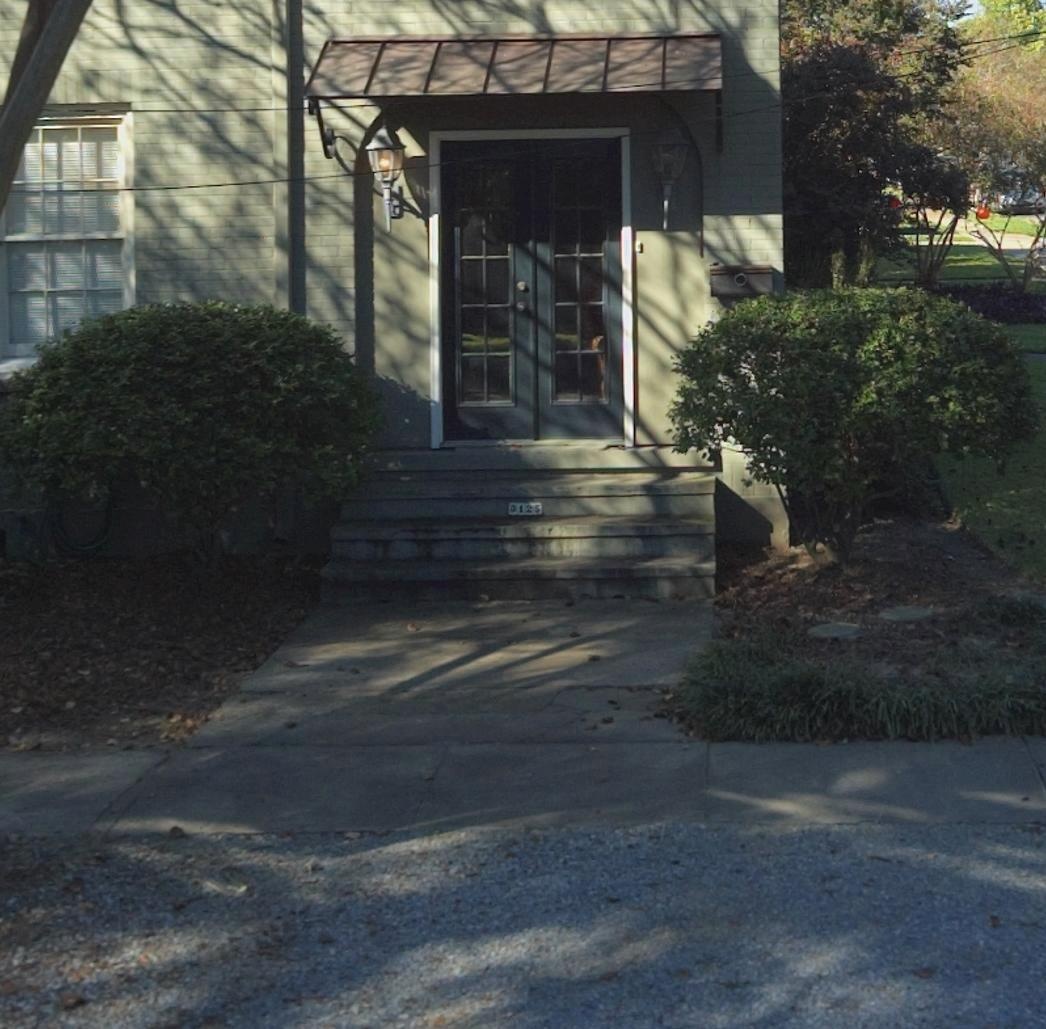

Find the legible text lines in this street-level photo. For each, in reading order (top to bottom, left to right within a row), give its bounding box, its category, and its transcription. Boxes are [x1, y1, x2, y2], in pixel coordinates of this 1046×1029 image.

[508, 503, 542, 515] StreetNumber: *125